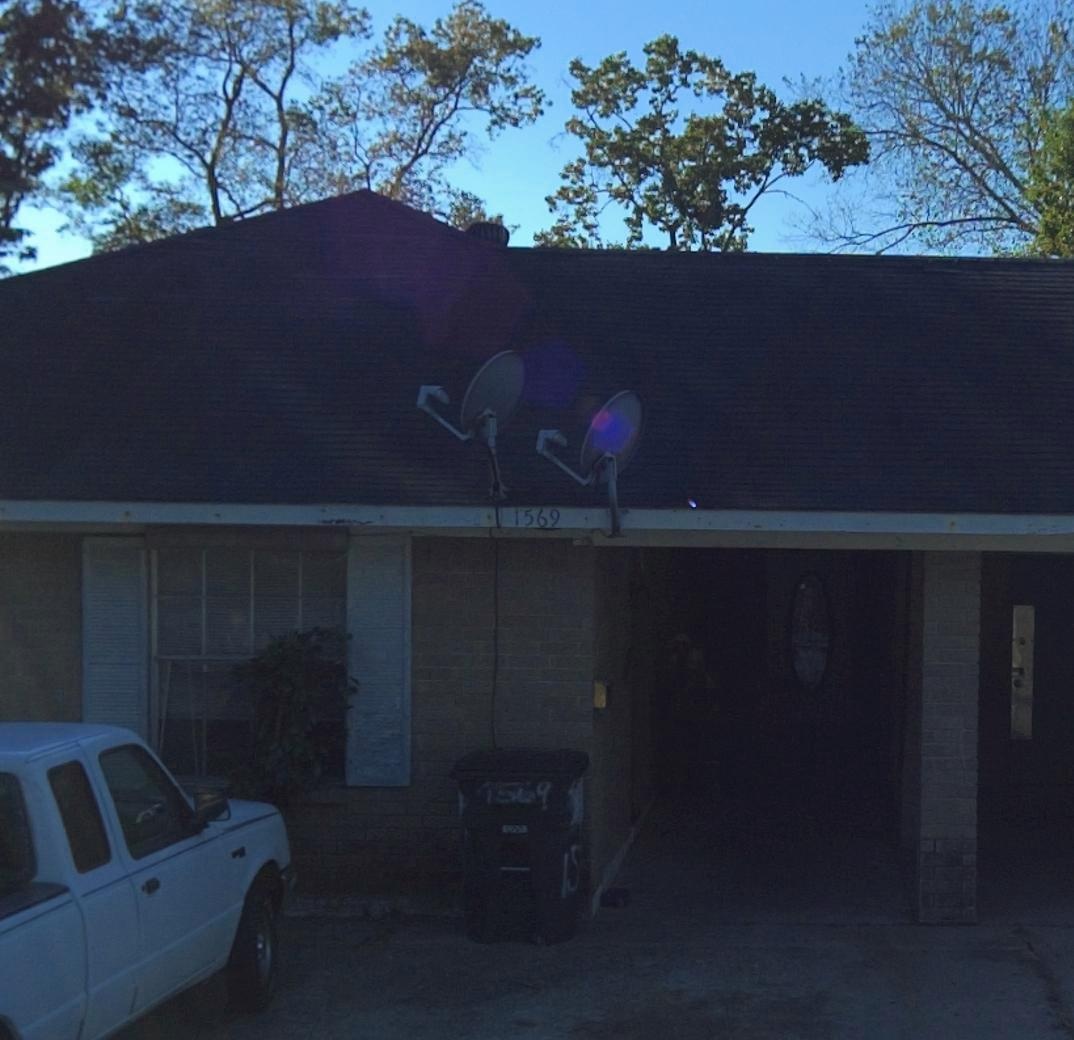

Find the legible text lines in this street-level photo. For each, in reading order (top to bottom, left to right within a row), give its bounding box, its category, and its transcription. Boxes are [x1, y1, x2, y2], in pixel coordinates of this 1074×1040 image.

[512, 506, 561, 529] StreetNumber: 1569